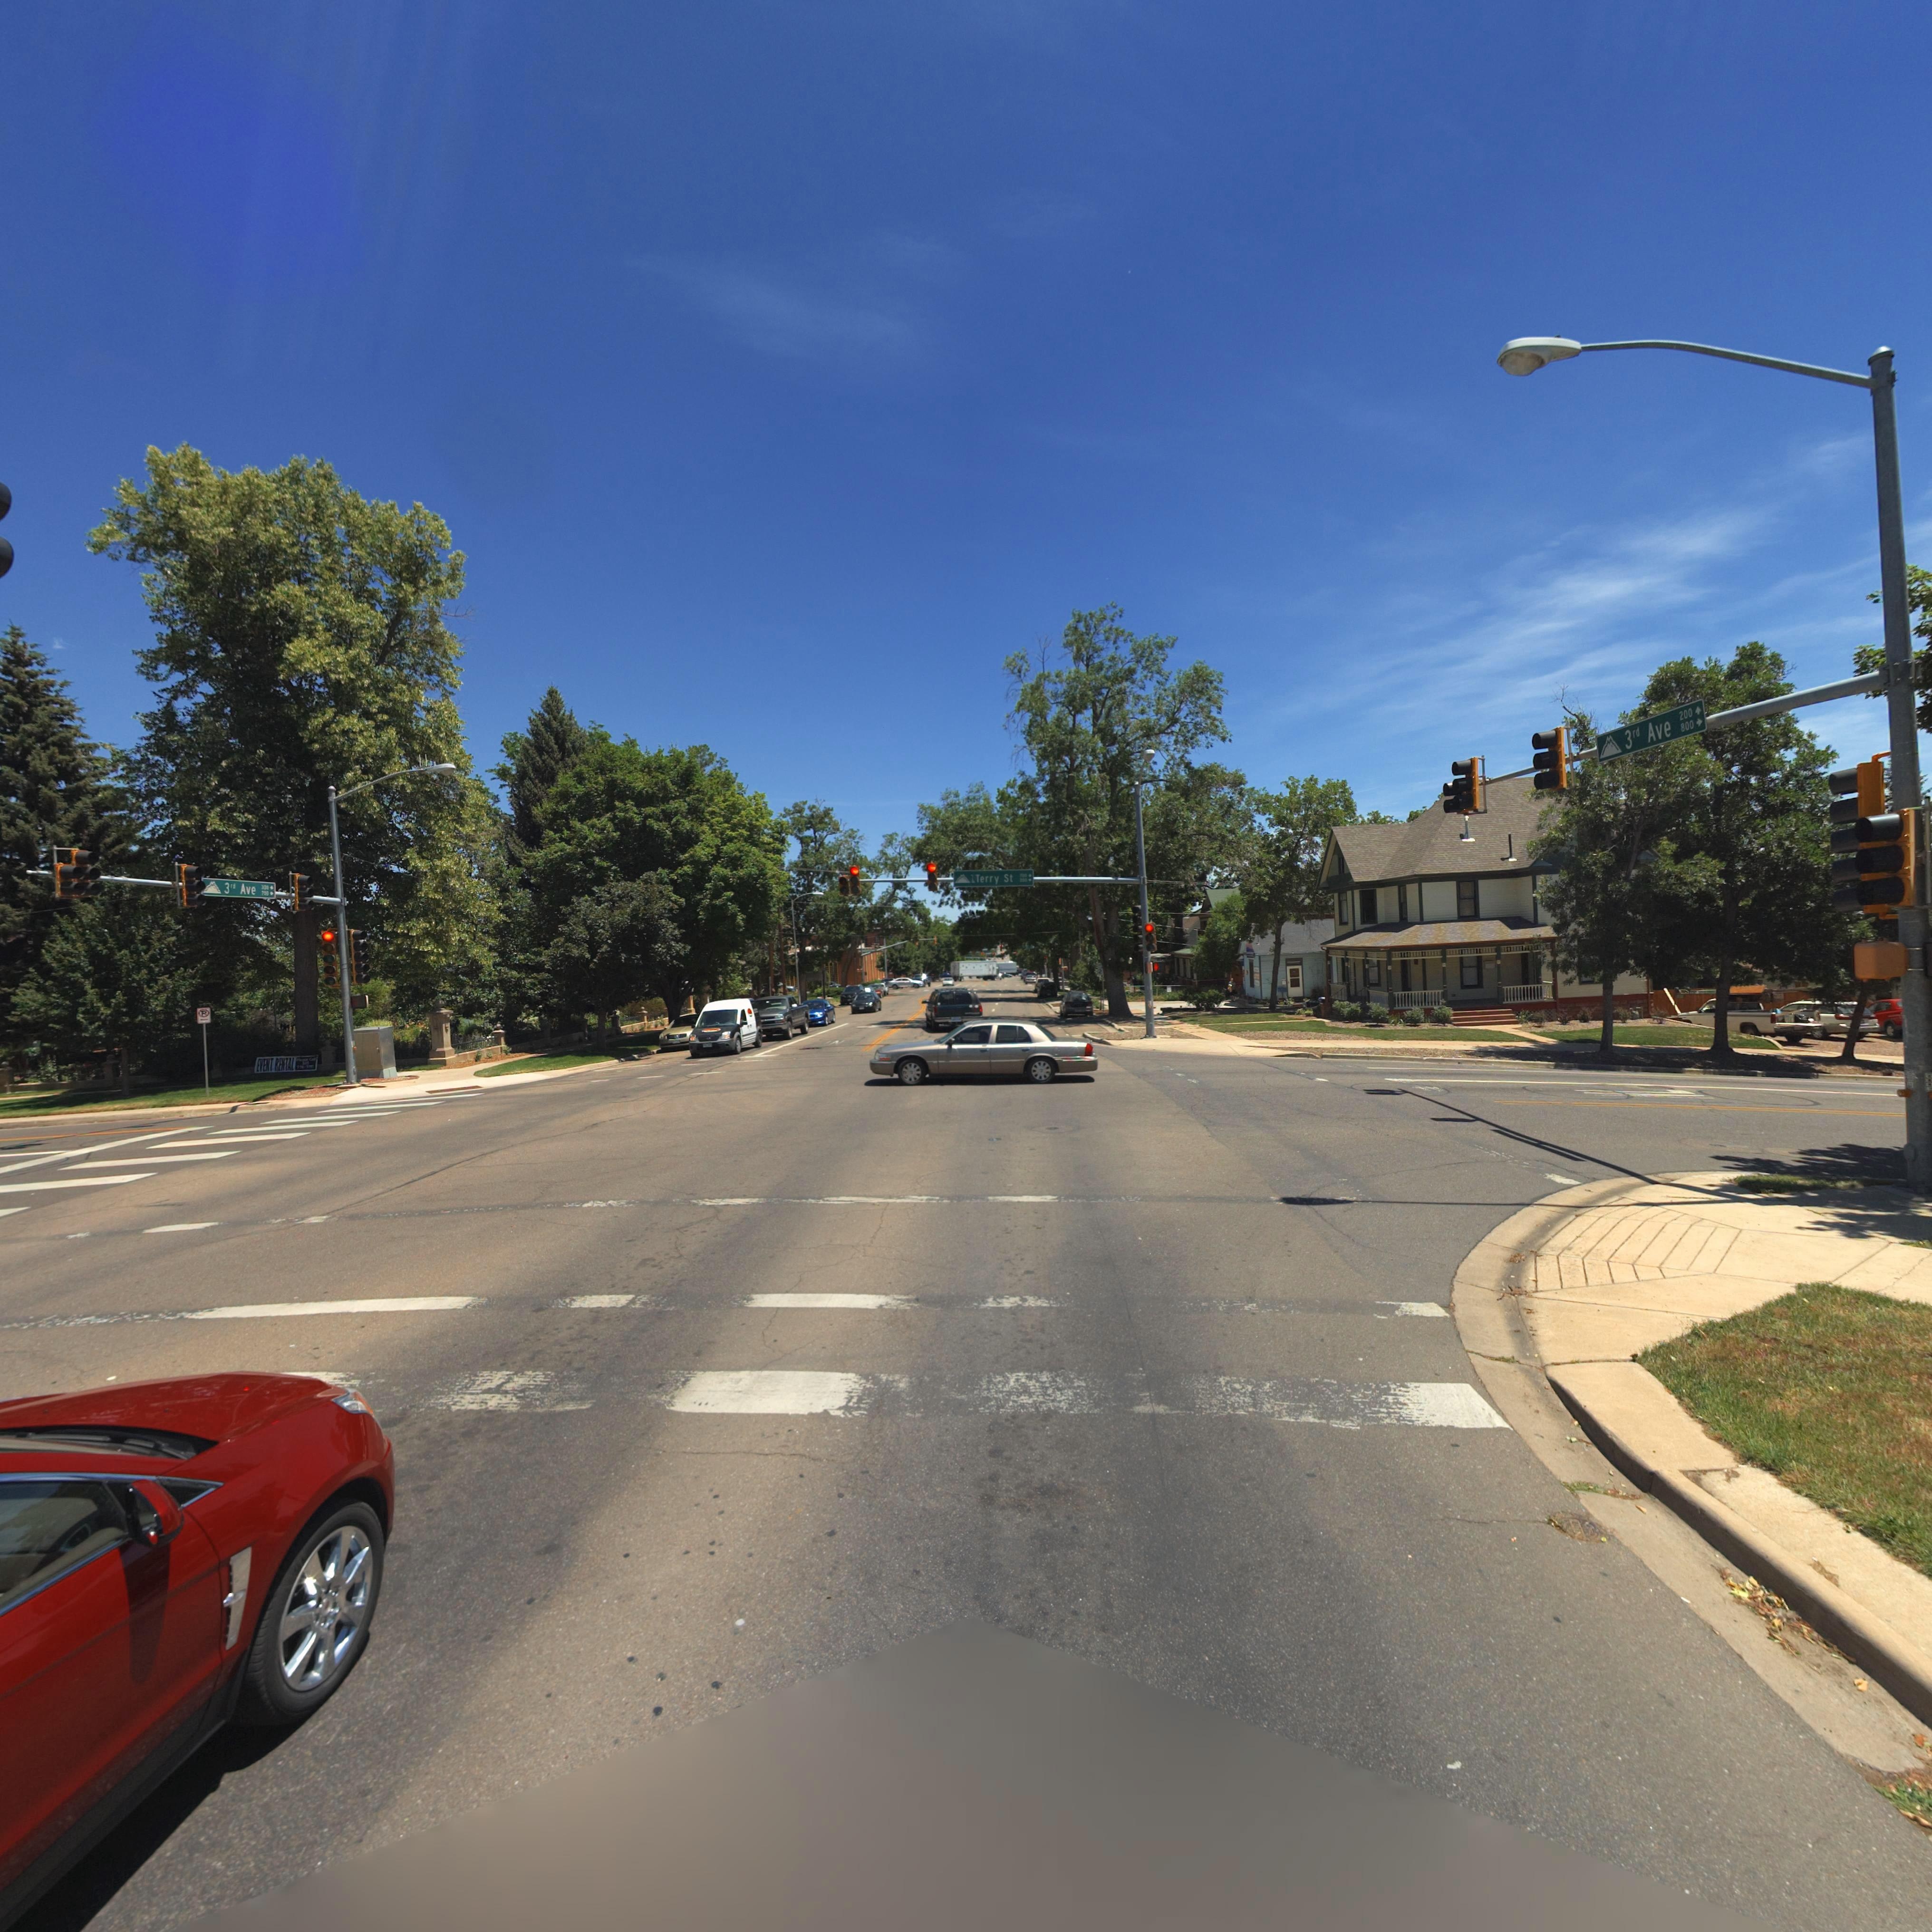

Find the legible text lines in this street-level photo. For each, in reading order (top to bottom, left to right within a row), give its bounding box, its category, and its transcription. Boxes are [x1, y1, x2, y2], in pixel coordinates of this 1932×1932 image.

[1678, 707, 1693, 721] StreetNumberRange: 200
[1680, 718, 1704, 733] StreetNumberRange: 800->
[1623, 721, 1671, 750] StreetName: 3rd Ave
[975, 873, 1013, 885] BusinessName: Terry St
[1019, 872, 1028, 877] StreetNumberRange: *00
[1019, 877, 1033, 882] StreetNumberRange: *00->
[223, 881, 256, 895] StreetName: 3rd Ave
[261, 884, 270, 890] StreetNumberRange: 300
[261, 890, 274, 896] StreetNumberRange: 700->